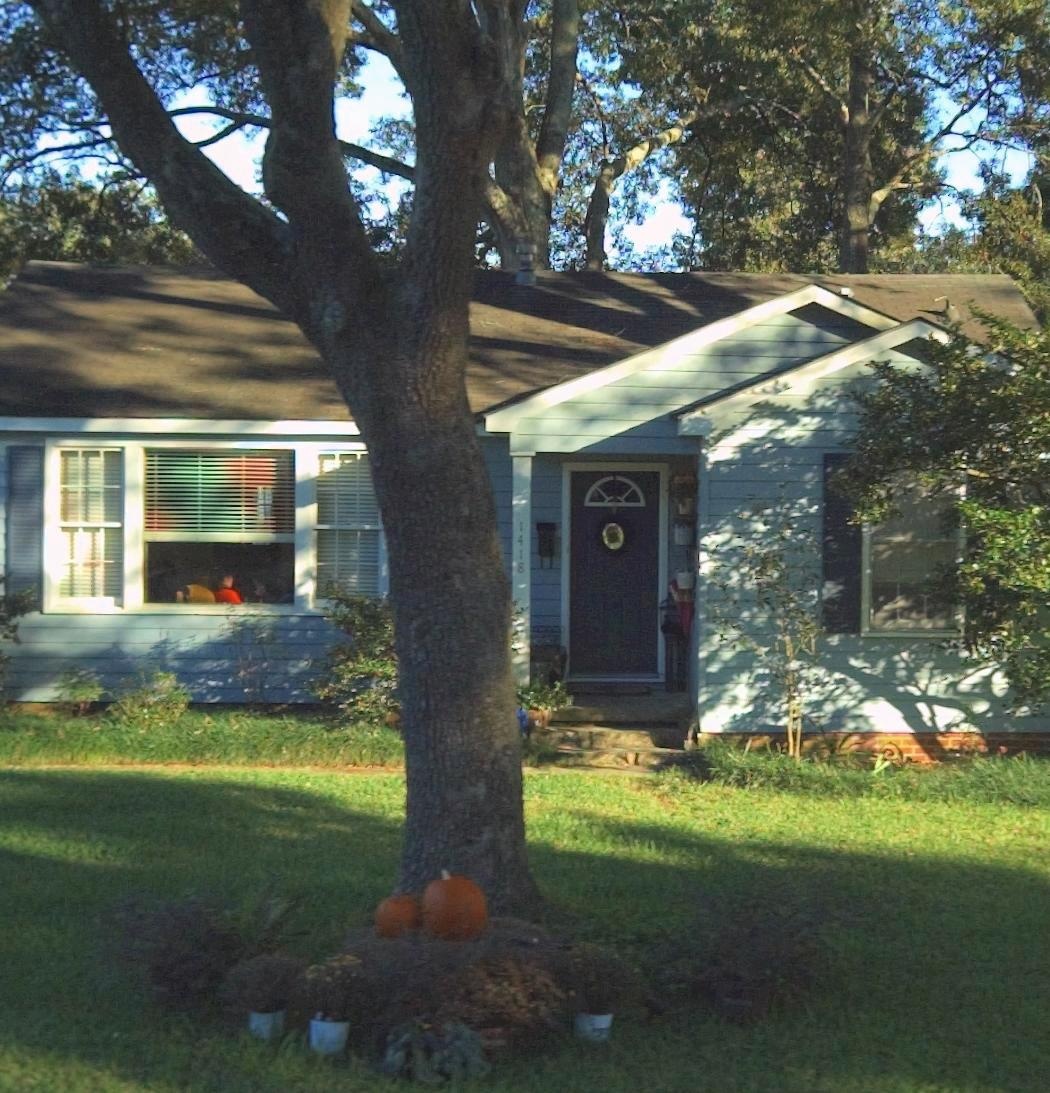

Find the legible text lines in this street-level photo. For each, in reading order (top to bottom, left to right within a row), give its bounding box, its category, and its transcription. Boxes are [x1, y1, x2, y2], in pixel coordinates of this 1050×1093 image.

[515, 519, 527, 576] StreetNumber: 1418